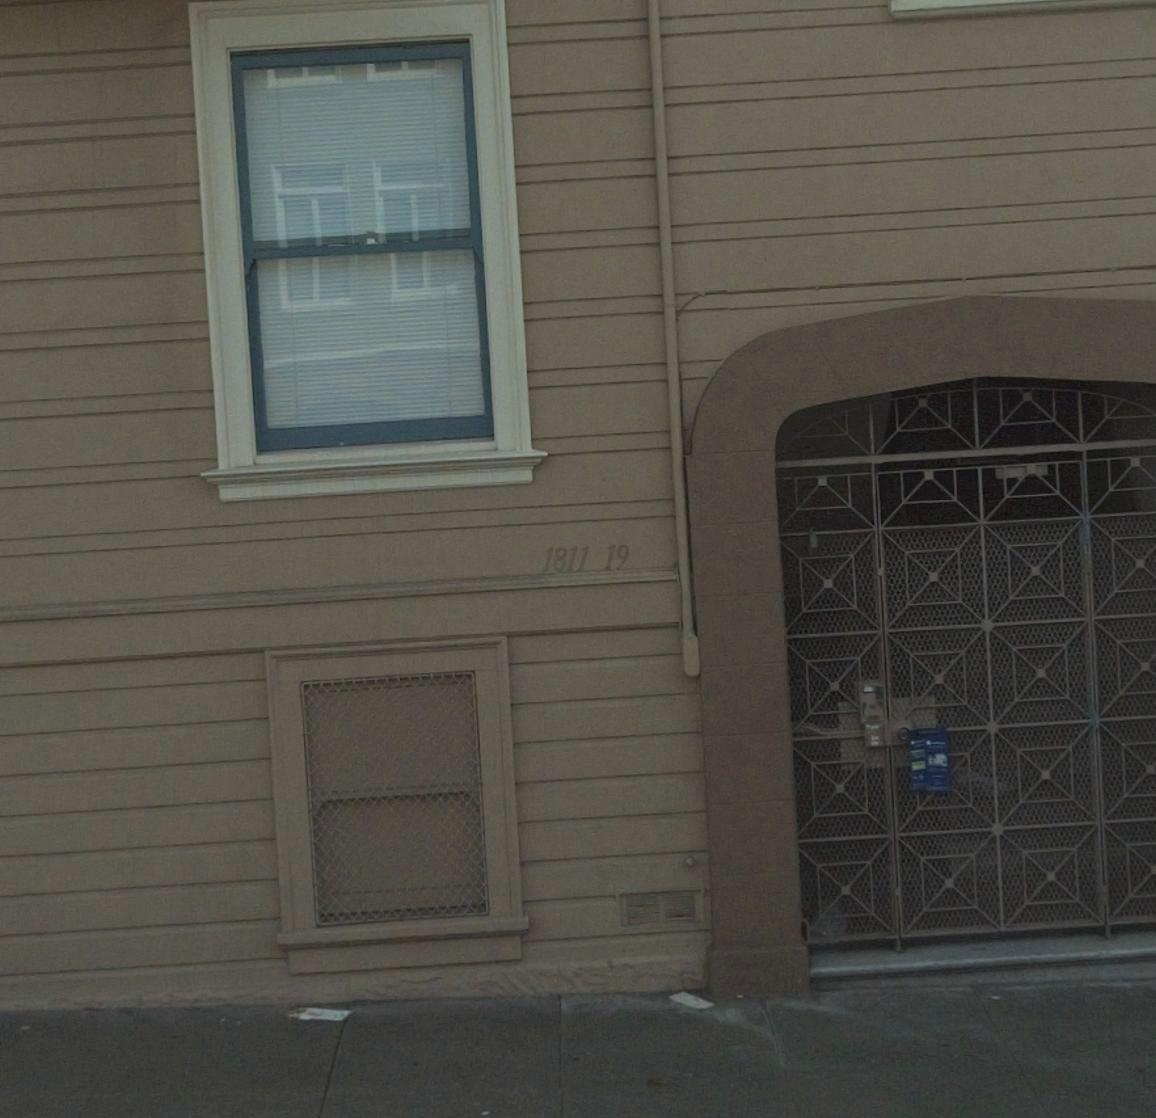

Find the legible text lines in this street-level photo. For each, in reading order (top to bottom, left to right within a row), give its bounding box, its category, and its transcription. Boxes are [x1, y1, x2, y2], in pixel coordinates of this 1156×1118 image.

[537, 541, 633, 577] StreetNumber: 1811 19